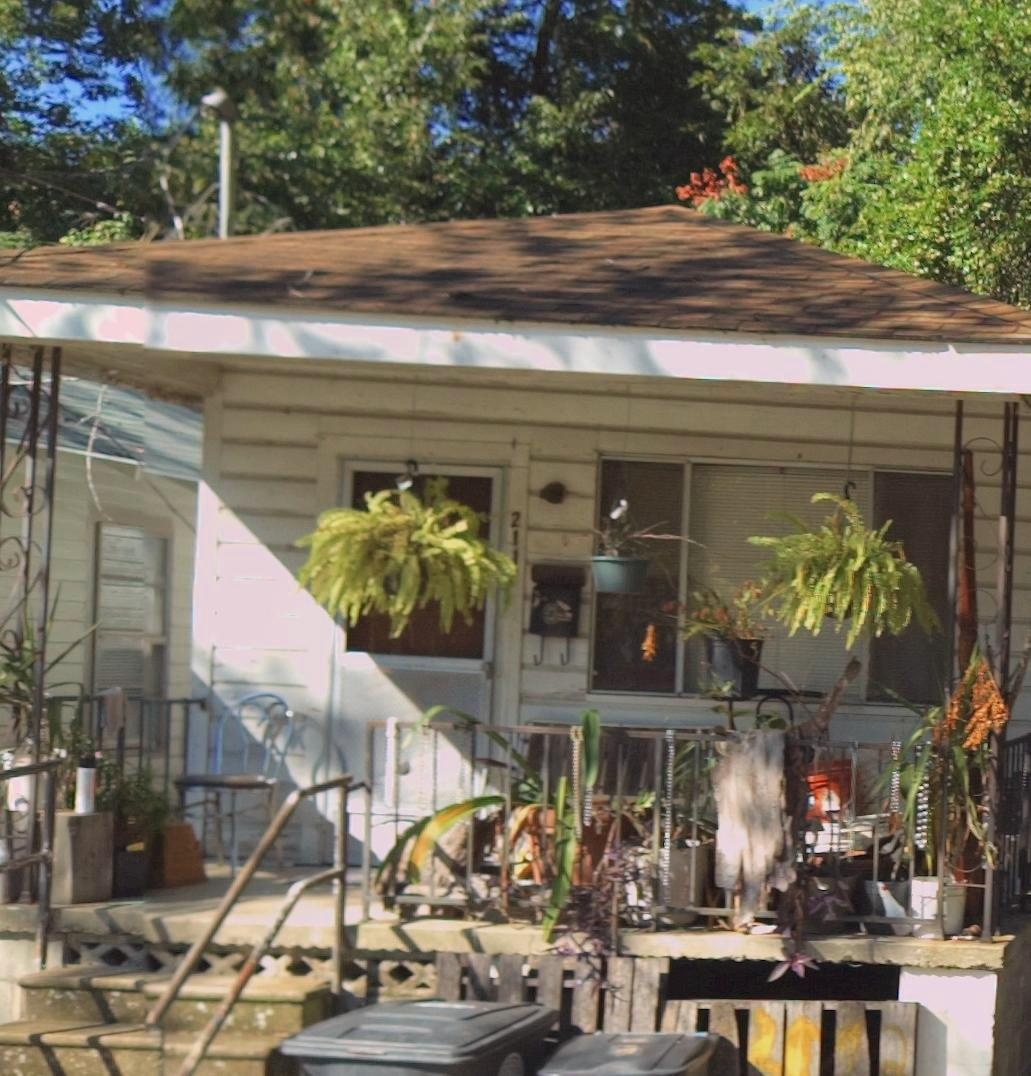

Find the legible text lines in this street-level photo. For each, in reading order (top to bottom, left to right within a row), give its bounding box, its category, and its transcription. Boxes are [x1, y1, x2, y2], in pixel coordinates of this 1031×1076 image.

[509, 509, 522, 569] StreetNumber: 211